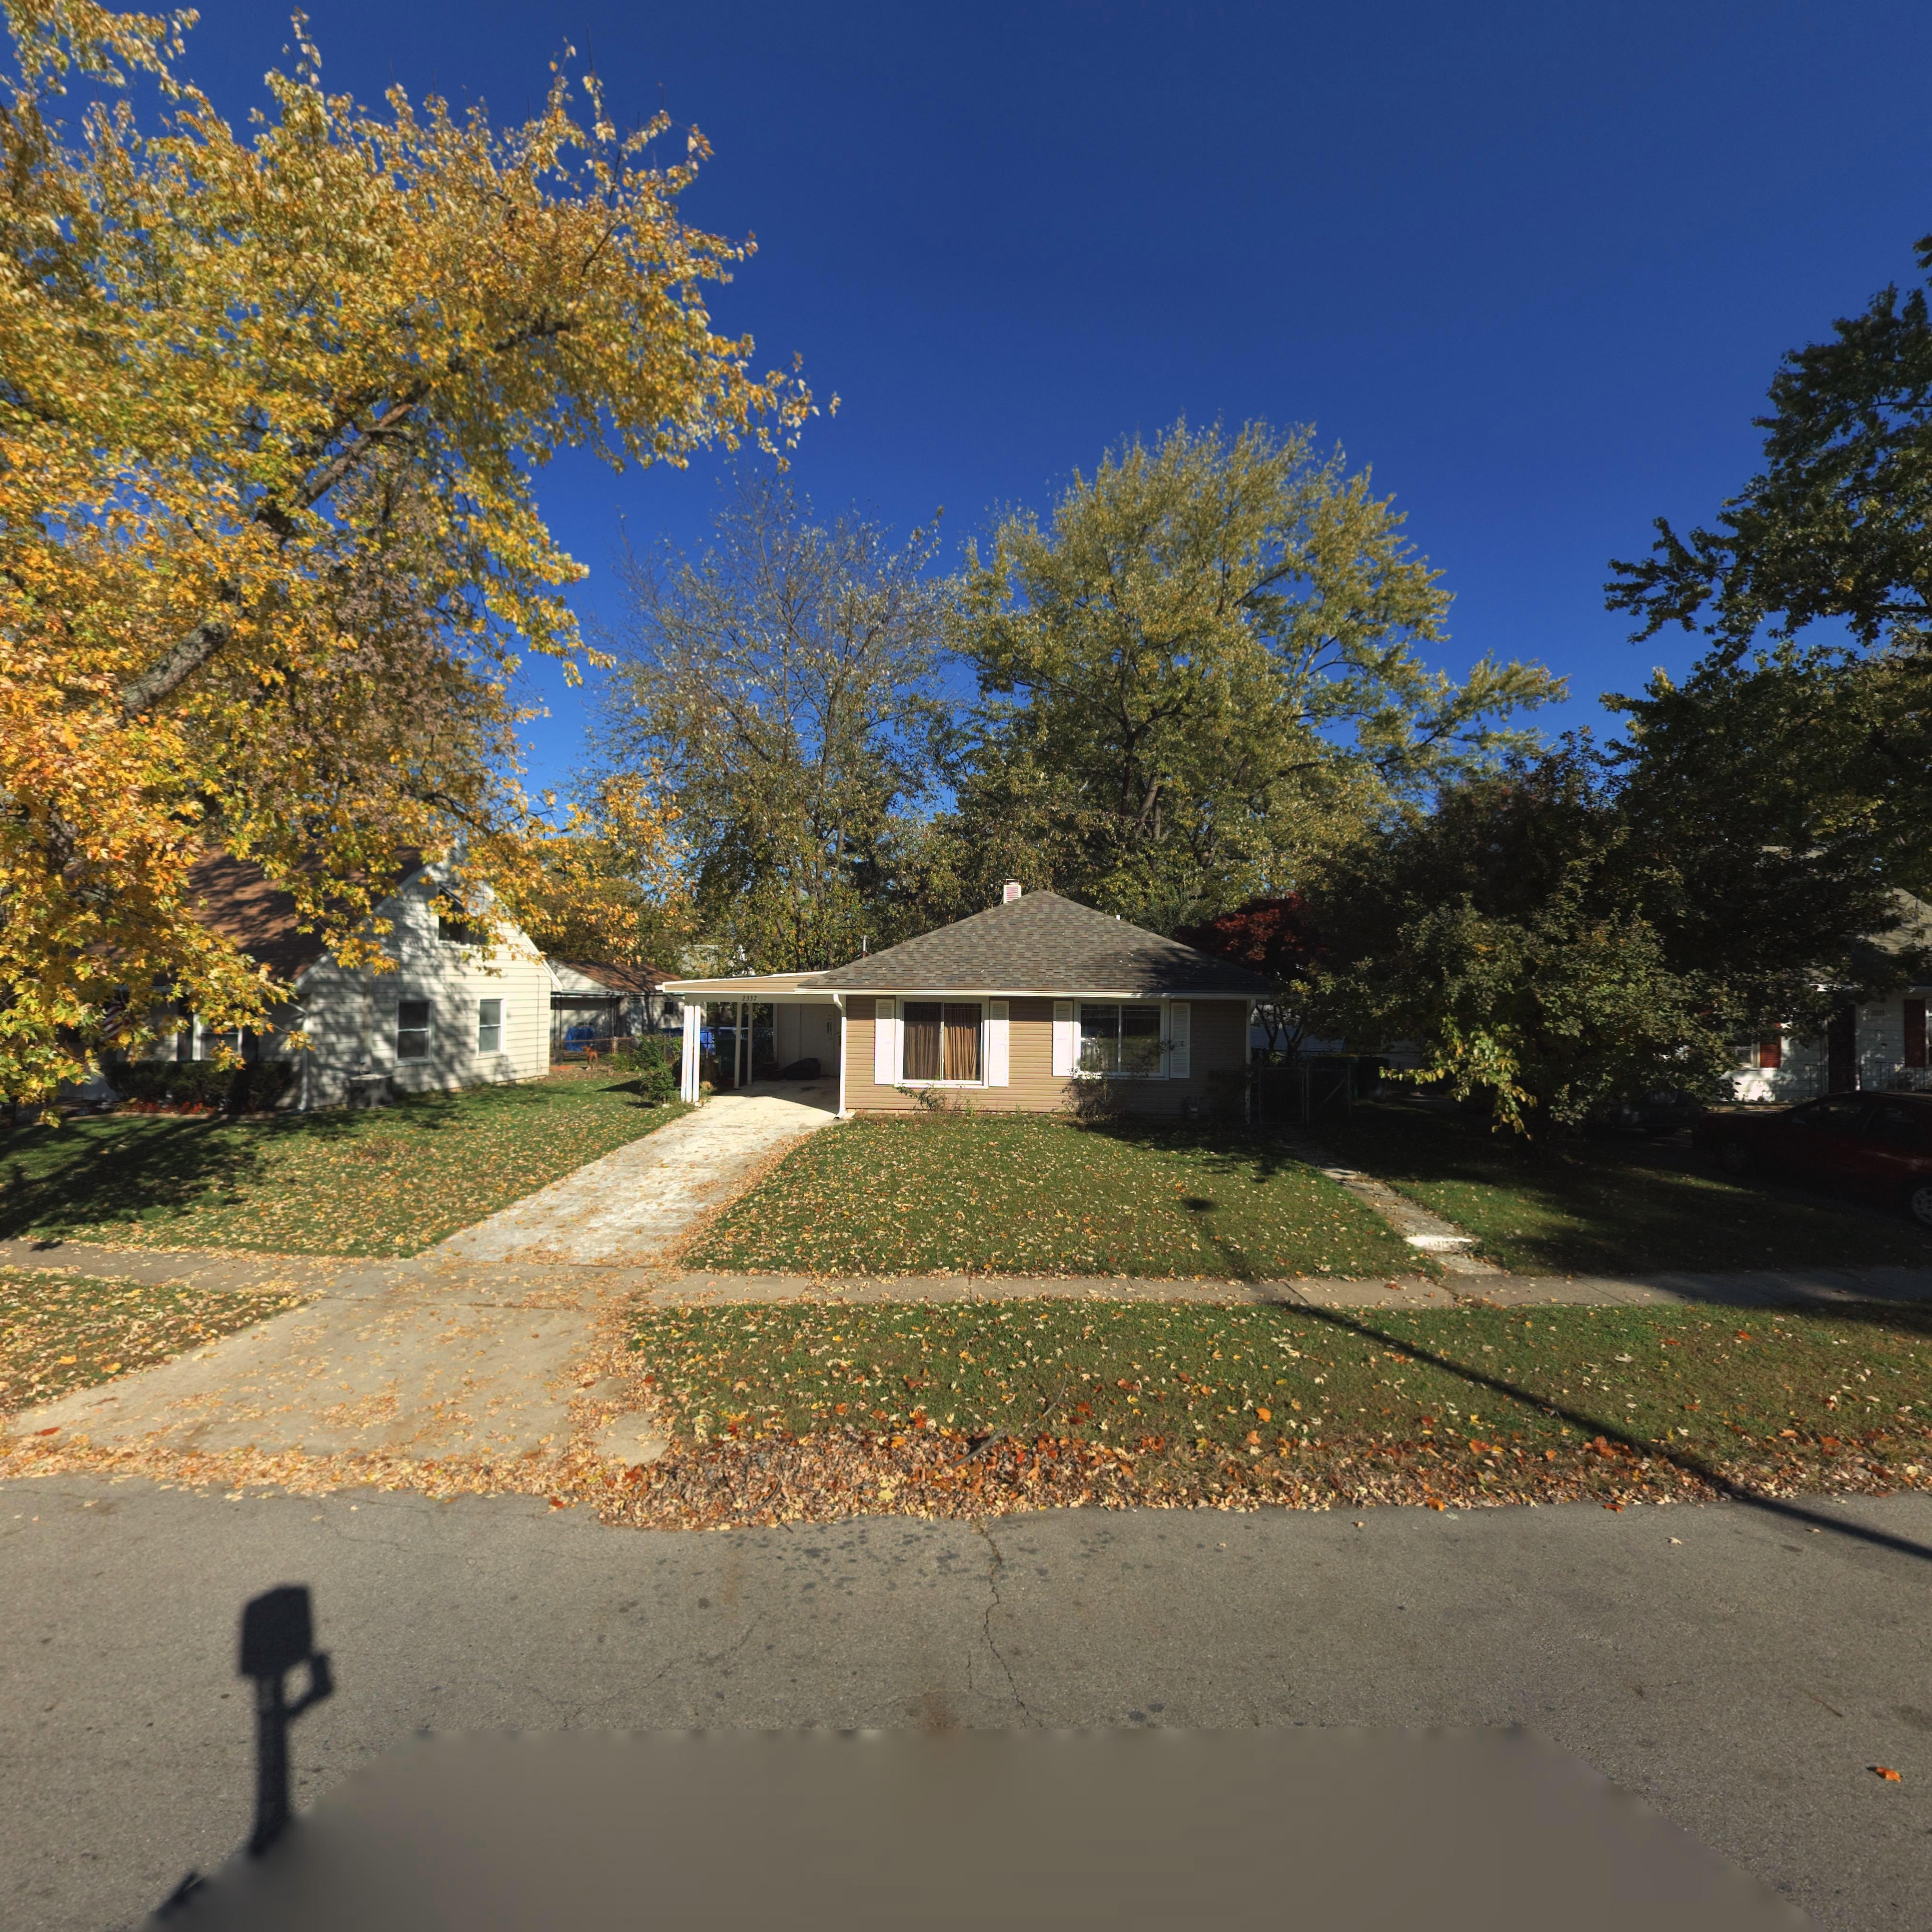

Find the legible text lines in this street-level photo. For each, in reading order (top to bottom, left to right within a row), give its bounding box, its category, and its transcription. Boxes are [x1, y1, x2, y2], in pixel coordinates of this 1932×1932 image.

[741, 995, 758, 1002] StreetNumber: 2337